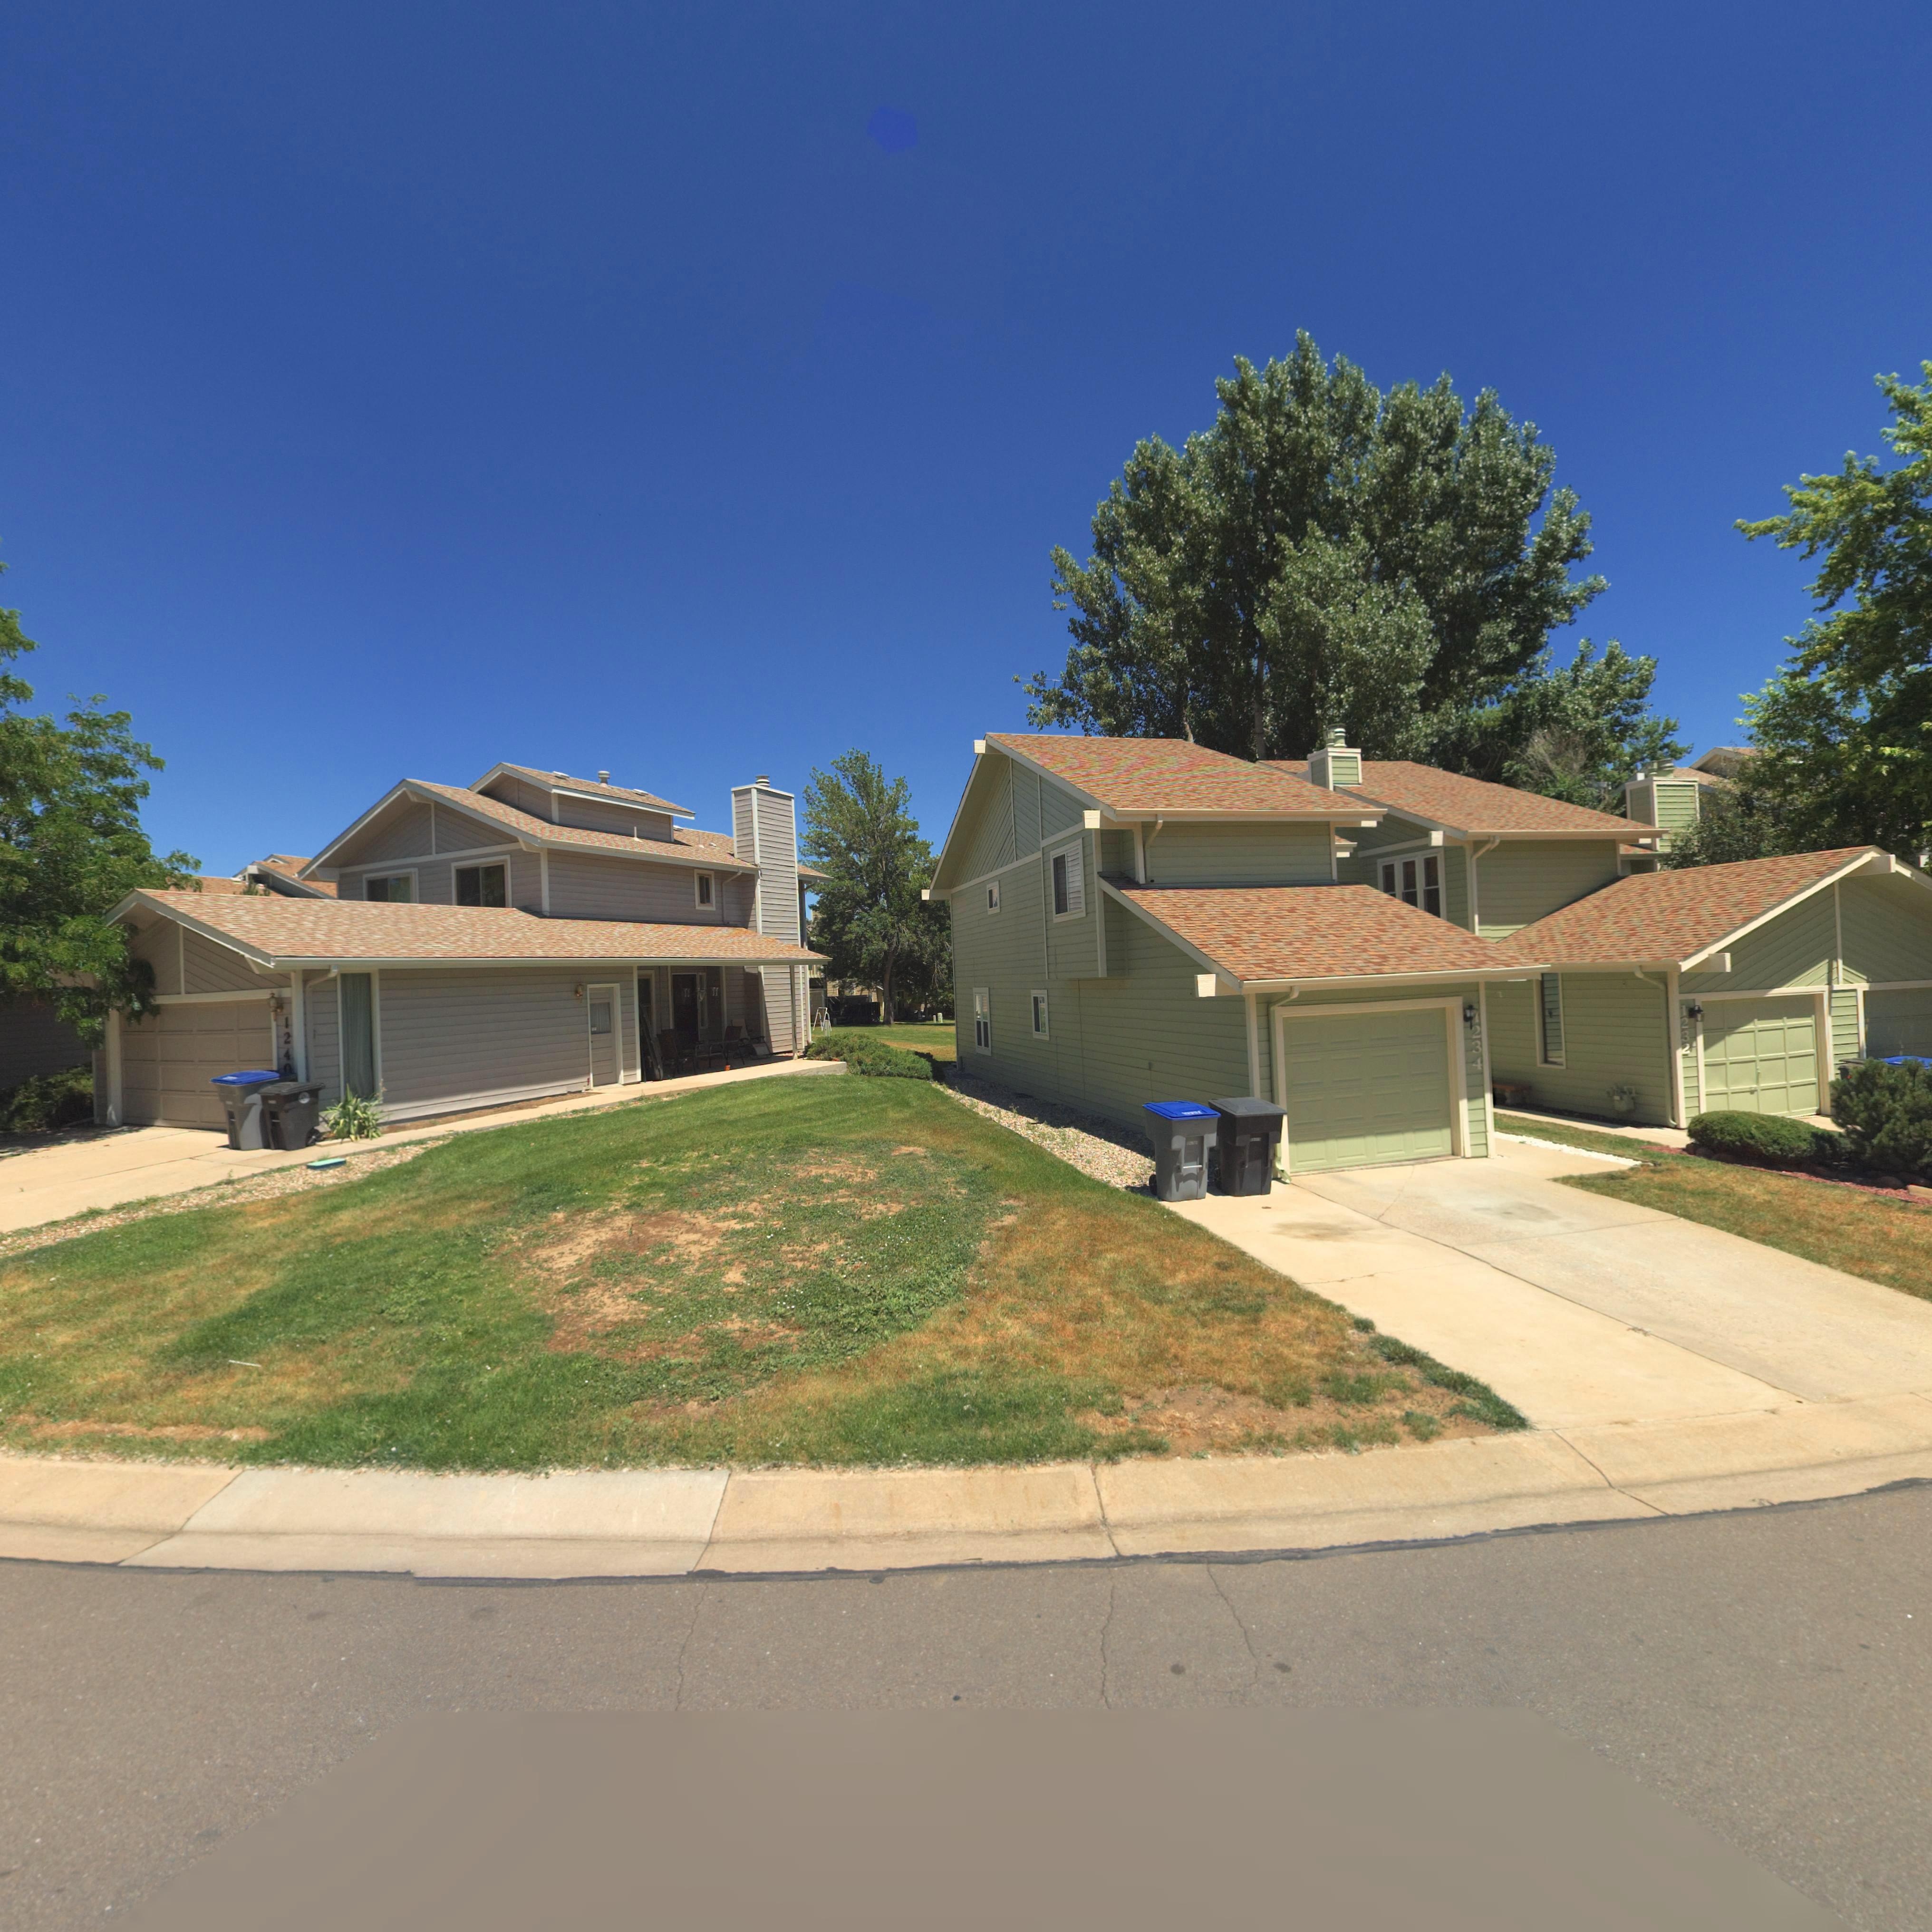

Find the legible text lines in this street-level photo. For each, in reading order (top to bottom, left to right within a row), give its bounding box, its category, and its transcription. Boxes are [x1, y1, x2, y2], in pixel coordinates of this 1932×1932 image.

[283, 1015, 293, 1074] StreetNumber: 124*
[1471, 1010, 1483, 1070] StreetNumber: 1234
[1681, 1004, 1690, 1055] StreetNumber: 1232